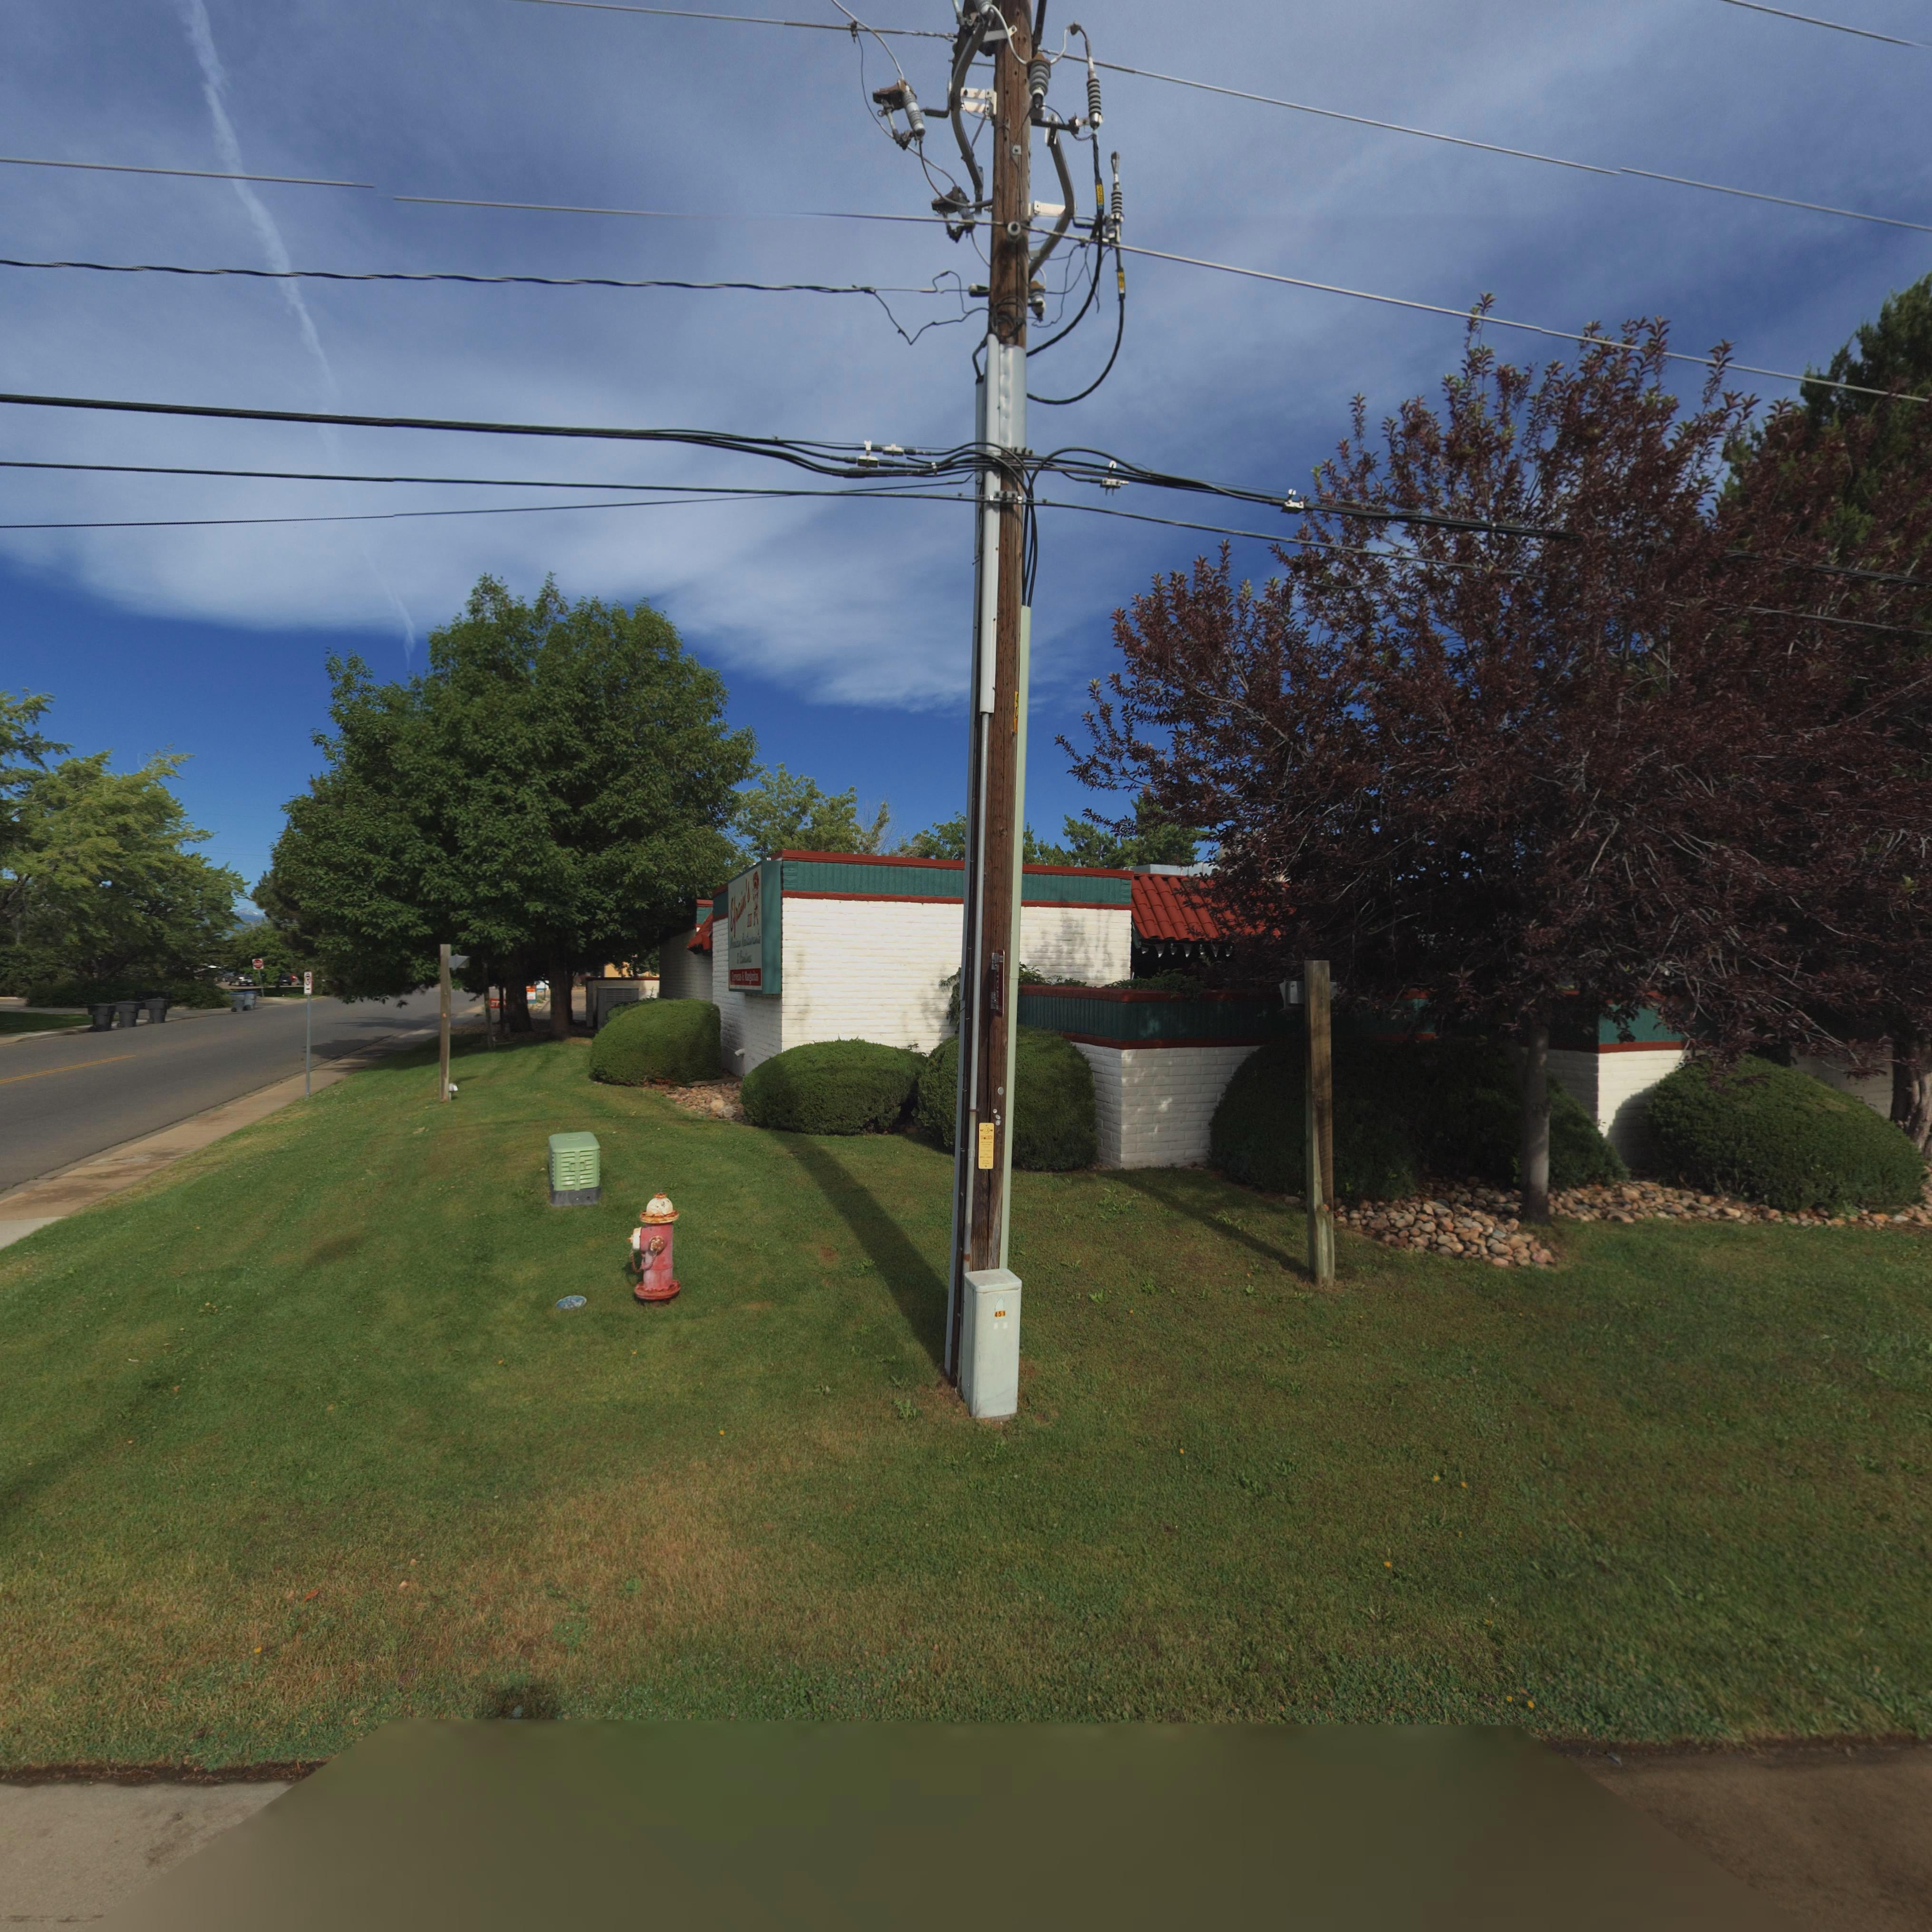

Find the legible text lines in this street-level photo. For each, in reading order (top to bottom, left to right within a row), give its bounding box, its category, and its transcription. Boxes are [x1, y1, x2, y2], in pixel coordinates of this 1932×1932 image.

[730, 878, 751, 938] BusinessName: Efrain*s